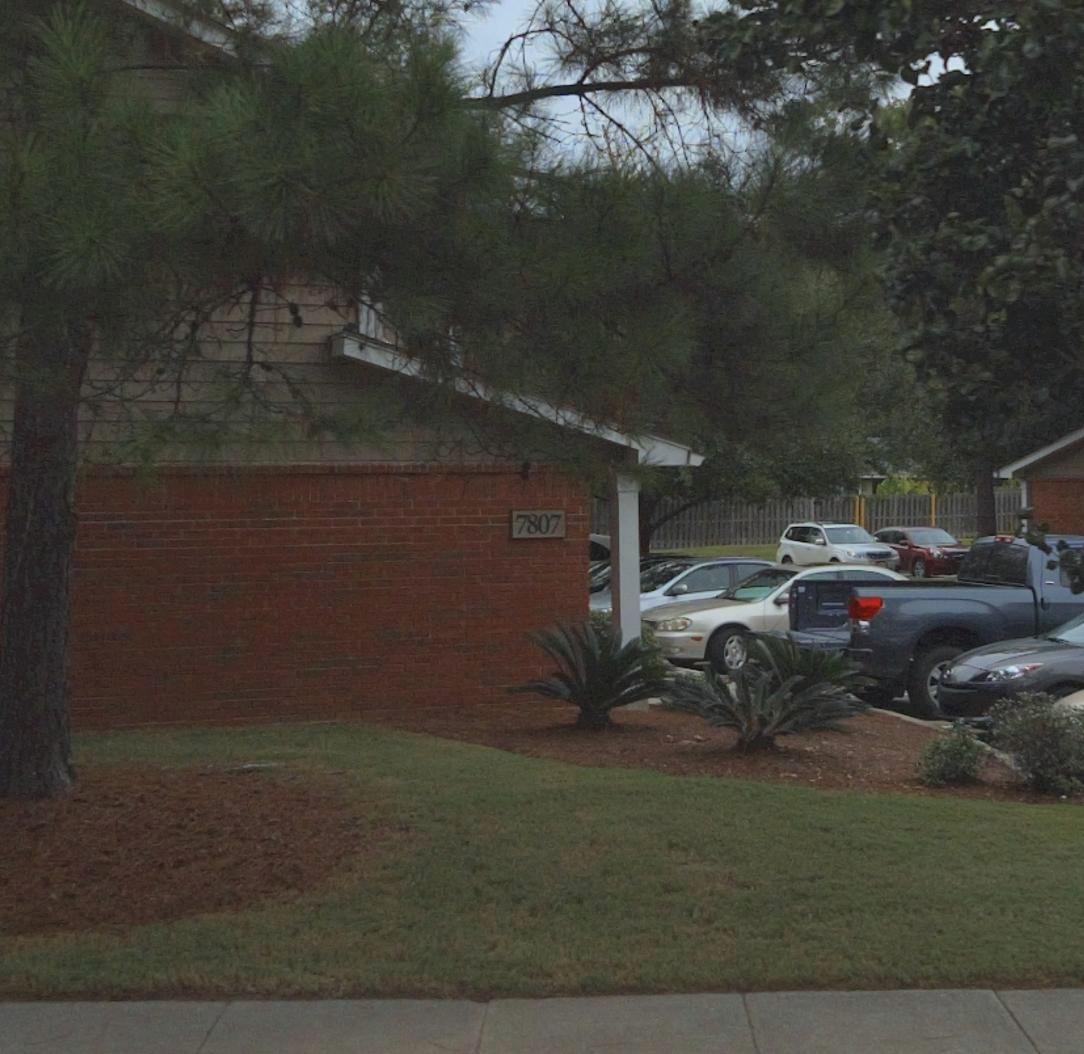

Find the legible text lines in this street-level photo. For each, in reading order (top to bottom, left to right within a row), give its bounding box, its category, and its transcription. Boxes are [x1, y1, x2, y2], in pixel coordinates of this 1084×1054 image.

[516, 513, 565, 535] StreetNumber: 7807